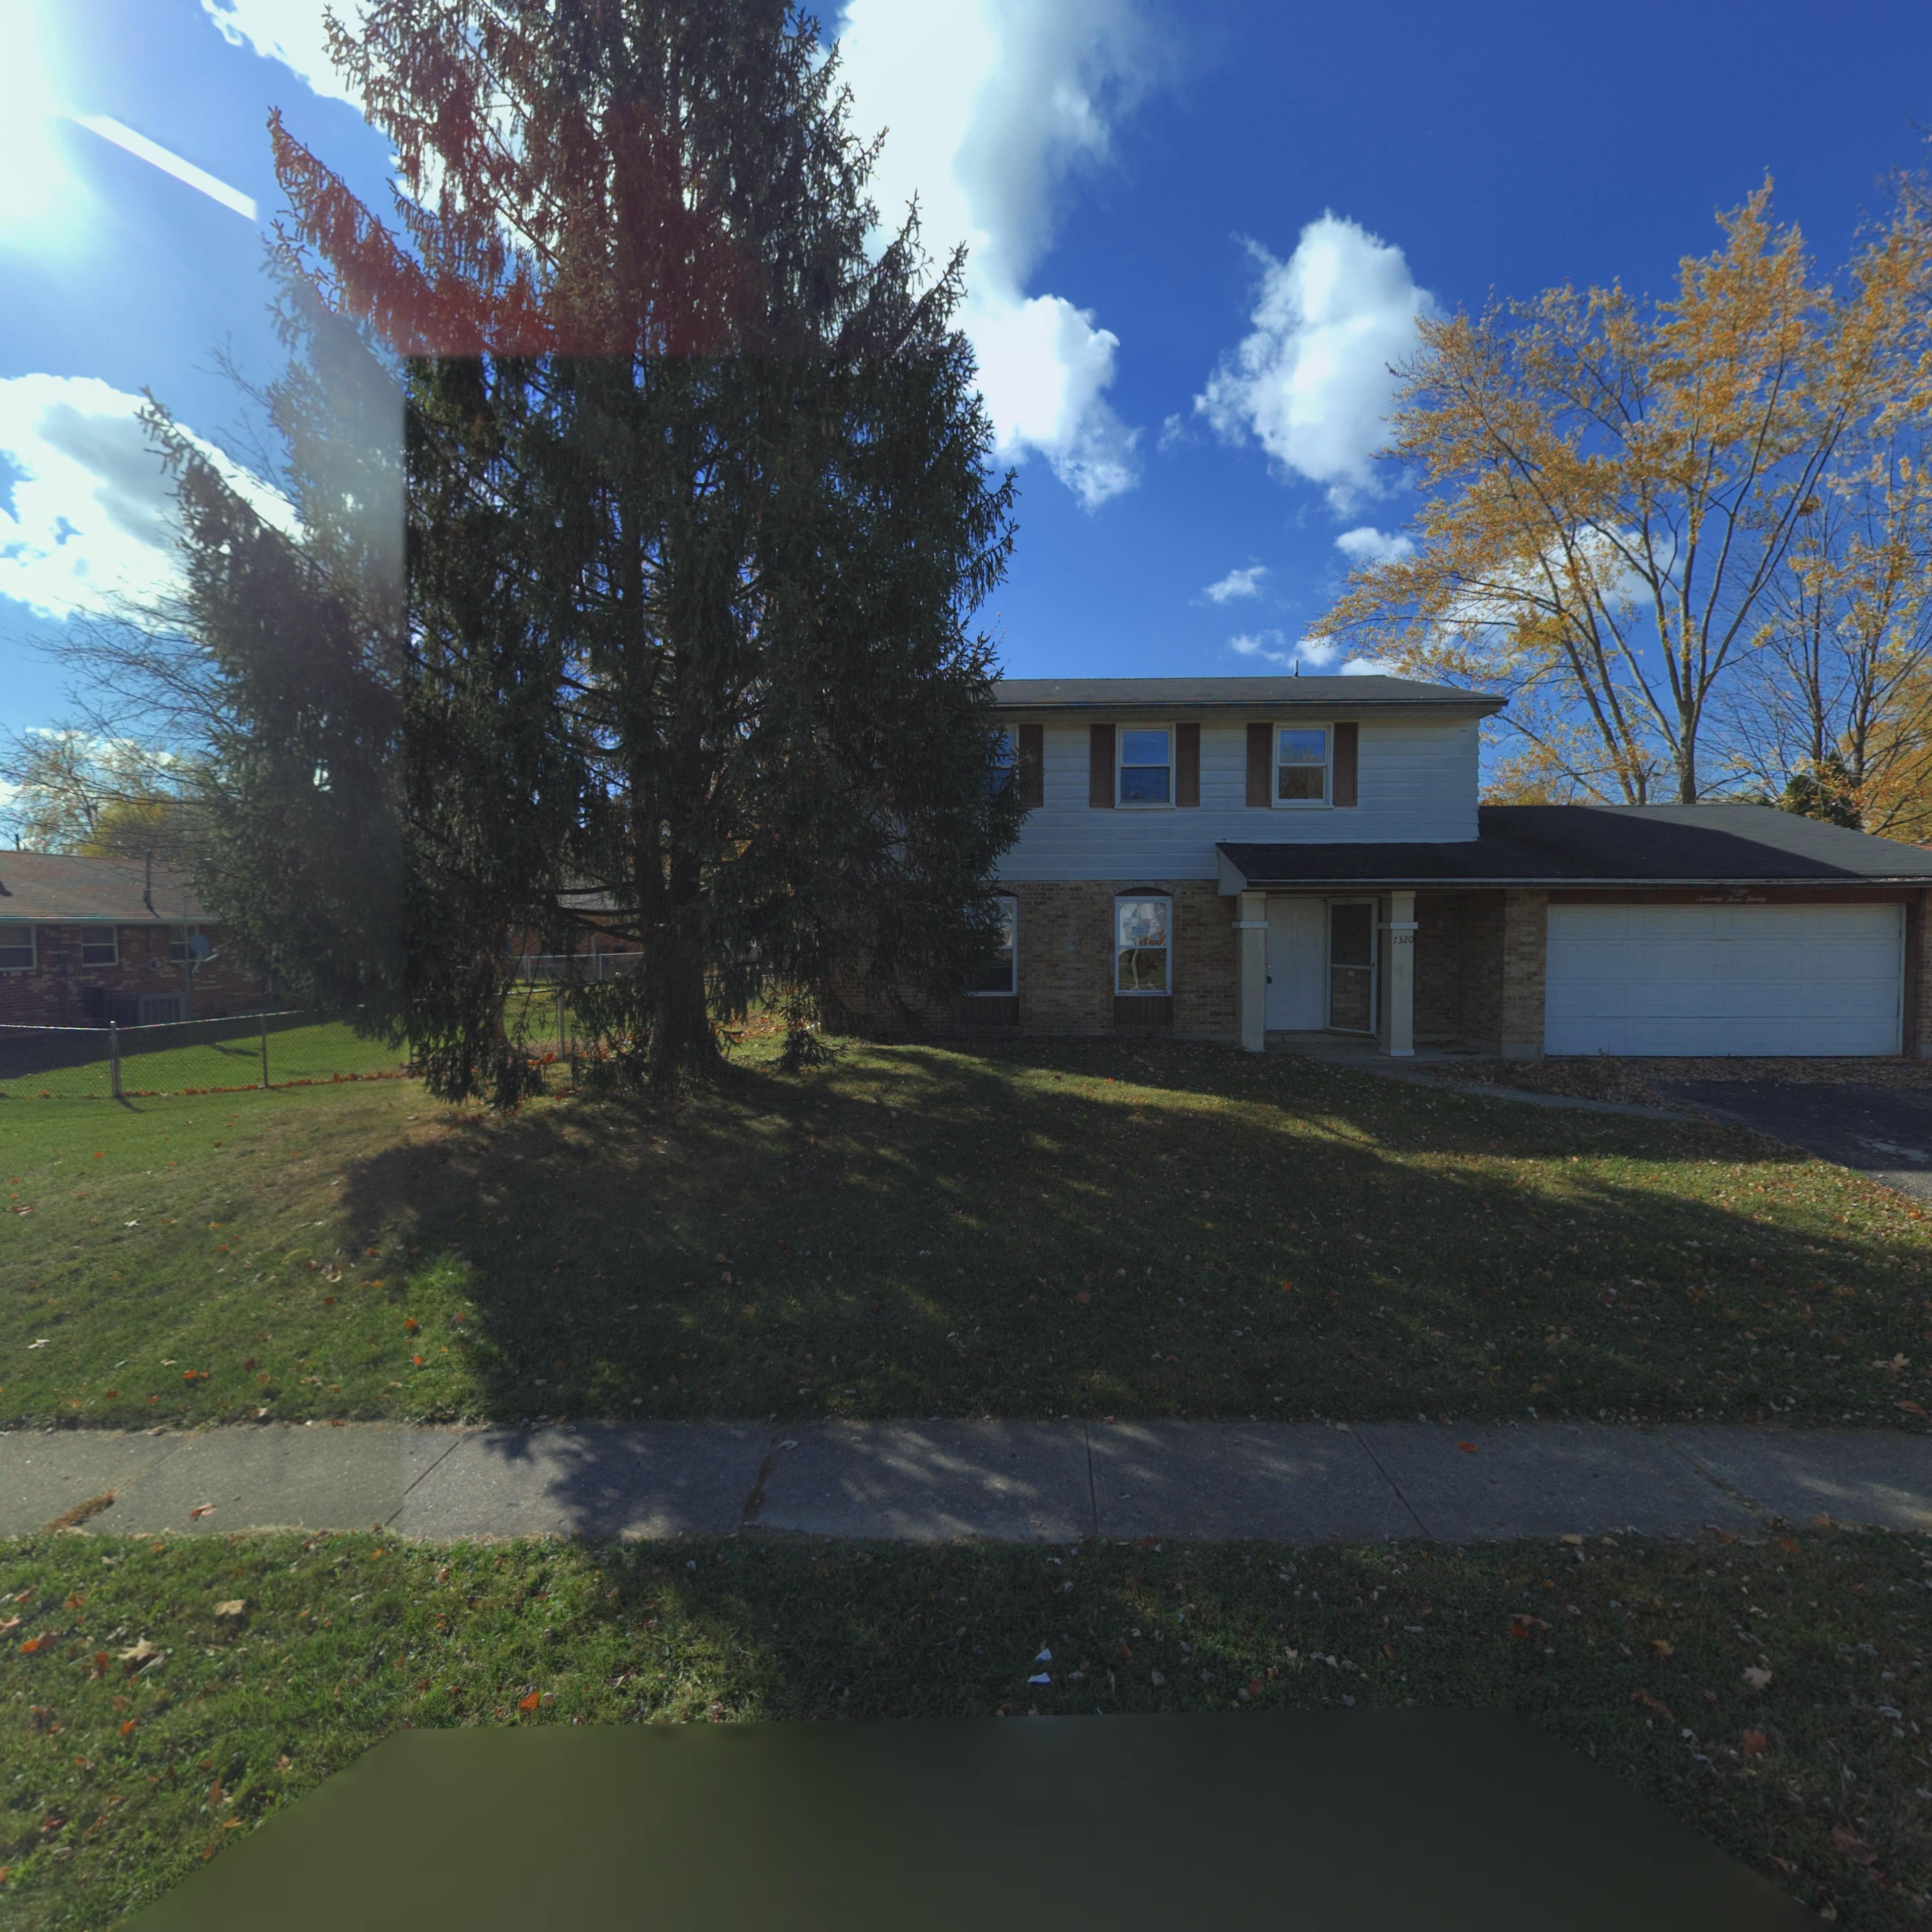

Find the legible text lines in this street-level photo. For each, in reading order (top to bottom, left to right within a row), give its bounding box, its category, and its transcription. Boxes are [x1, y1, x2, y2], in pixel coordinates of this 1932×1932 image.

[1392, 935, 1414, 946] StreetNumber: 7320